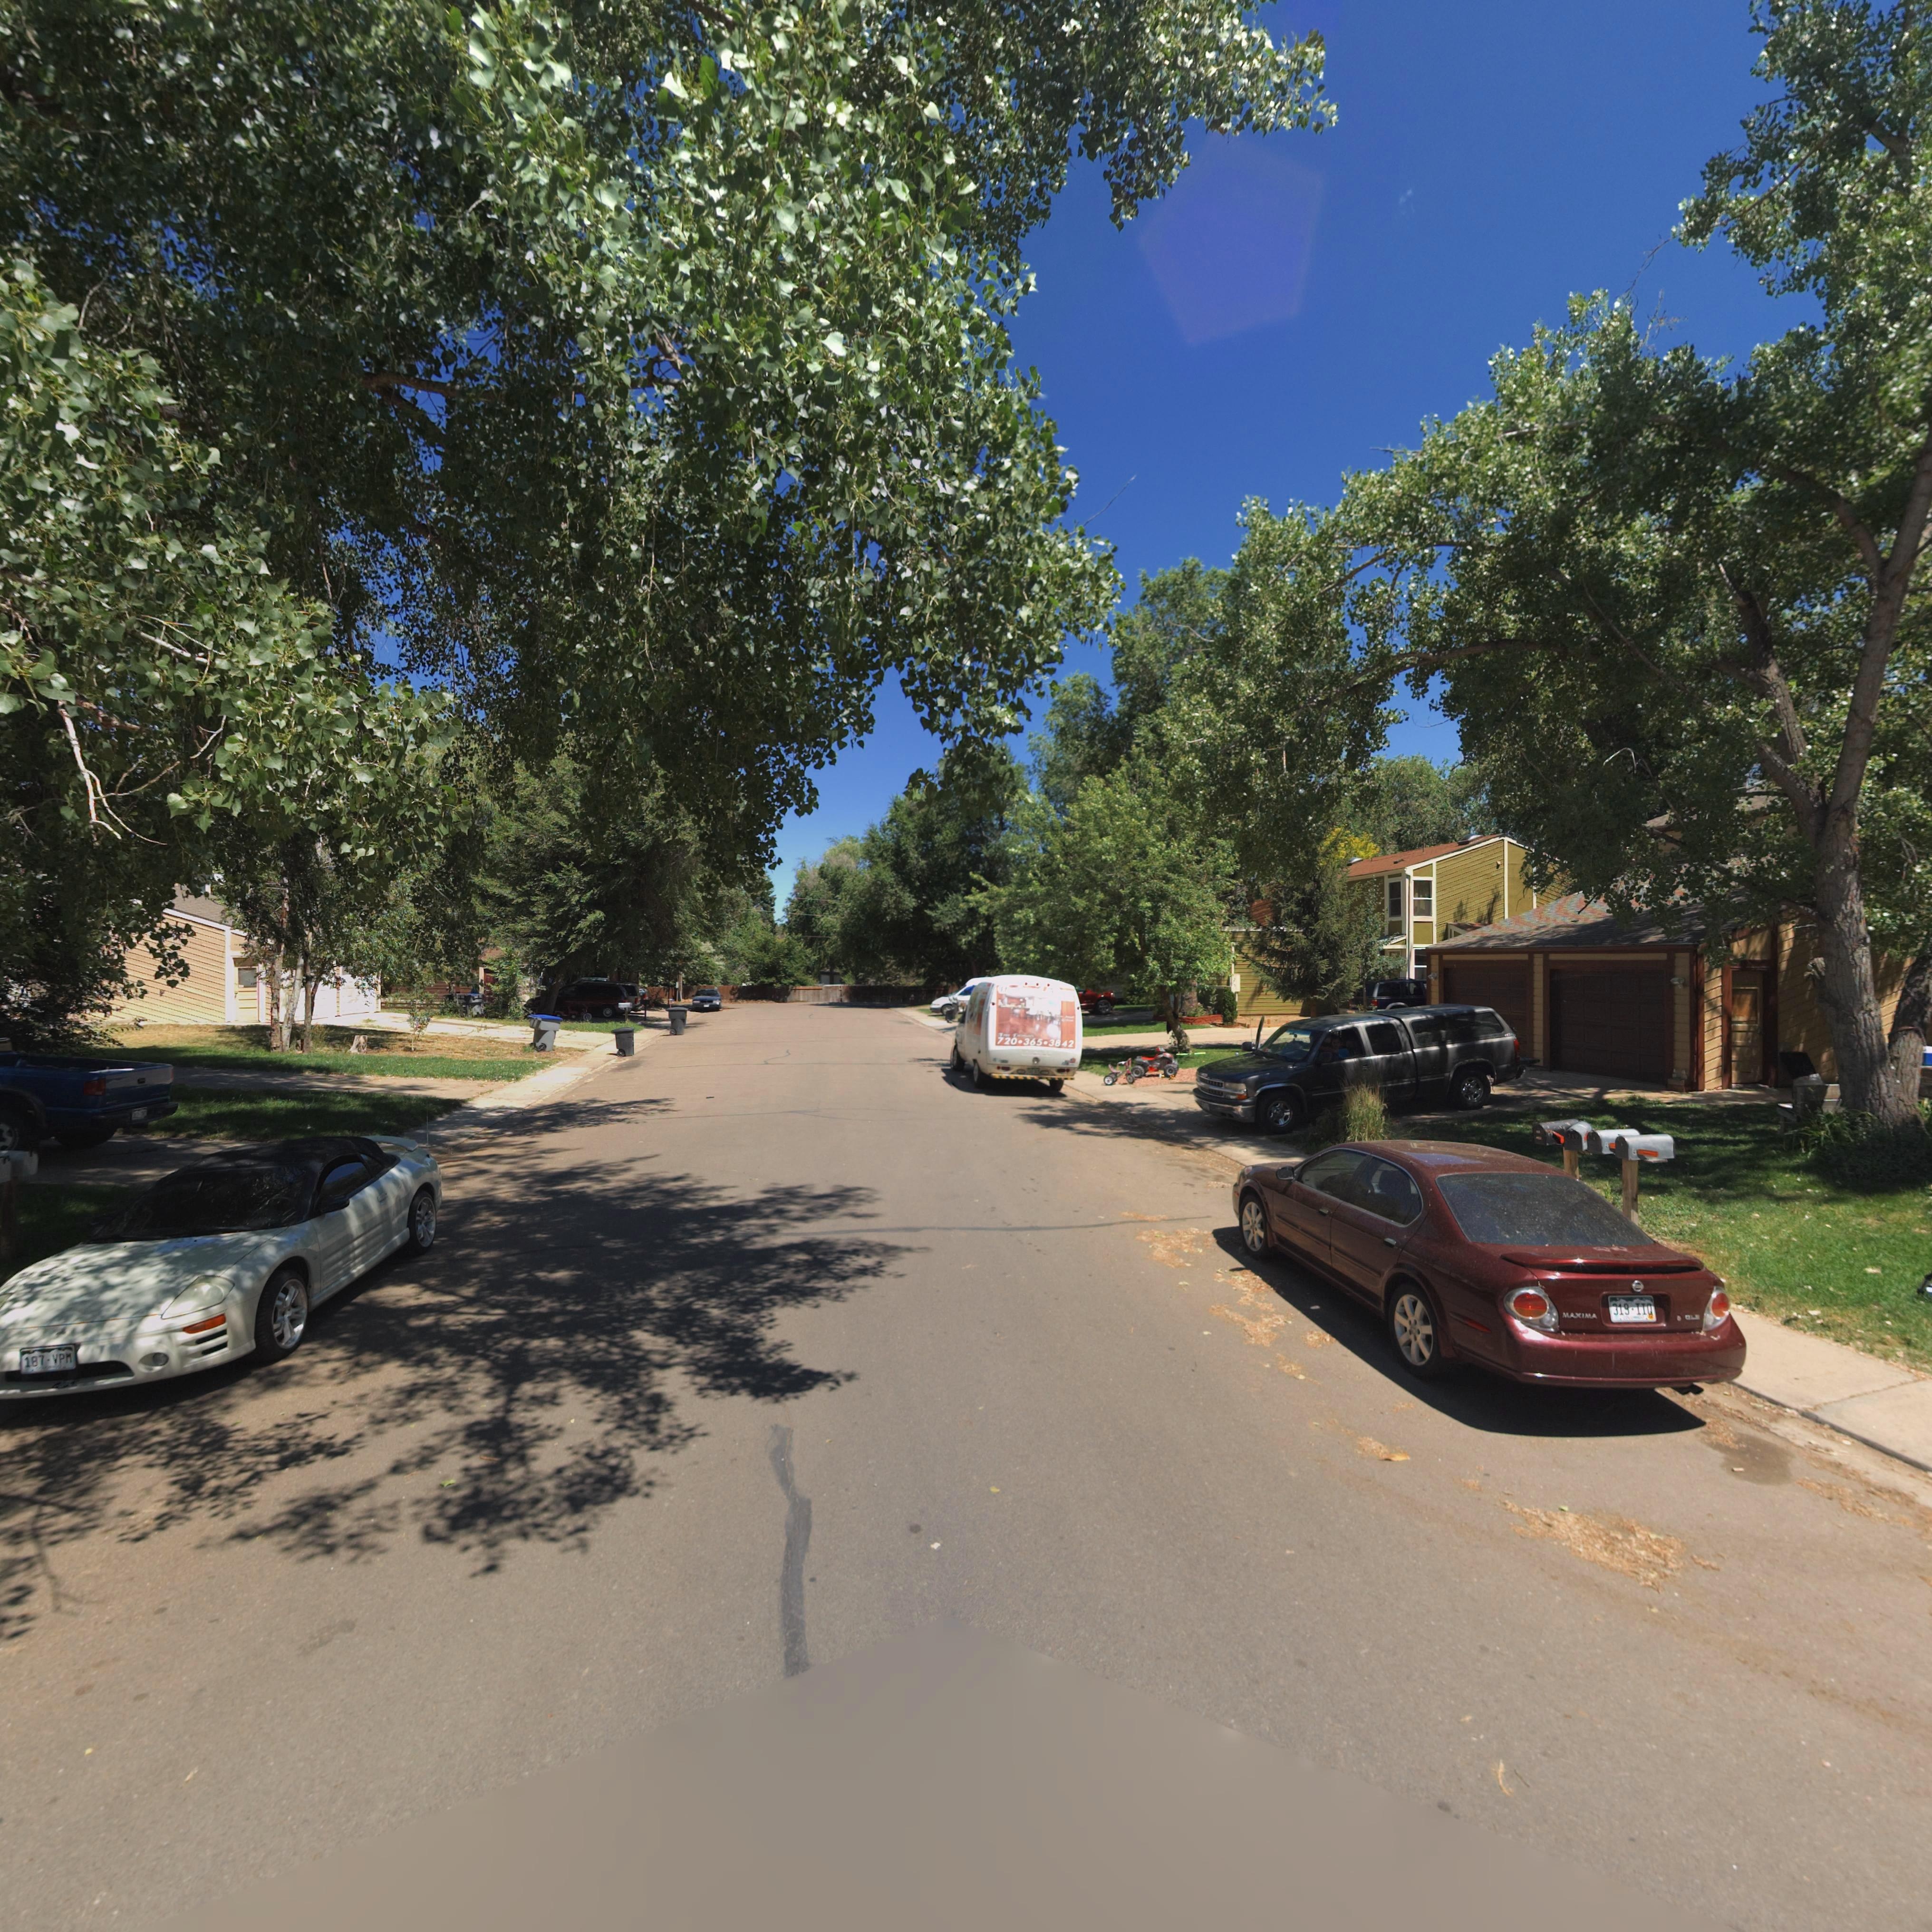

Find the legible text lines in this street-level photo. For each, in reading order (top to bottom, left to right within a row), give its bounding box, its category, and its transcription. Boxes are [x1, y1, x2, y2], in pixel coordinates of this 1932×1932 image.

[1566, 1133, 1578, 1140] StreetNumber: 3**